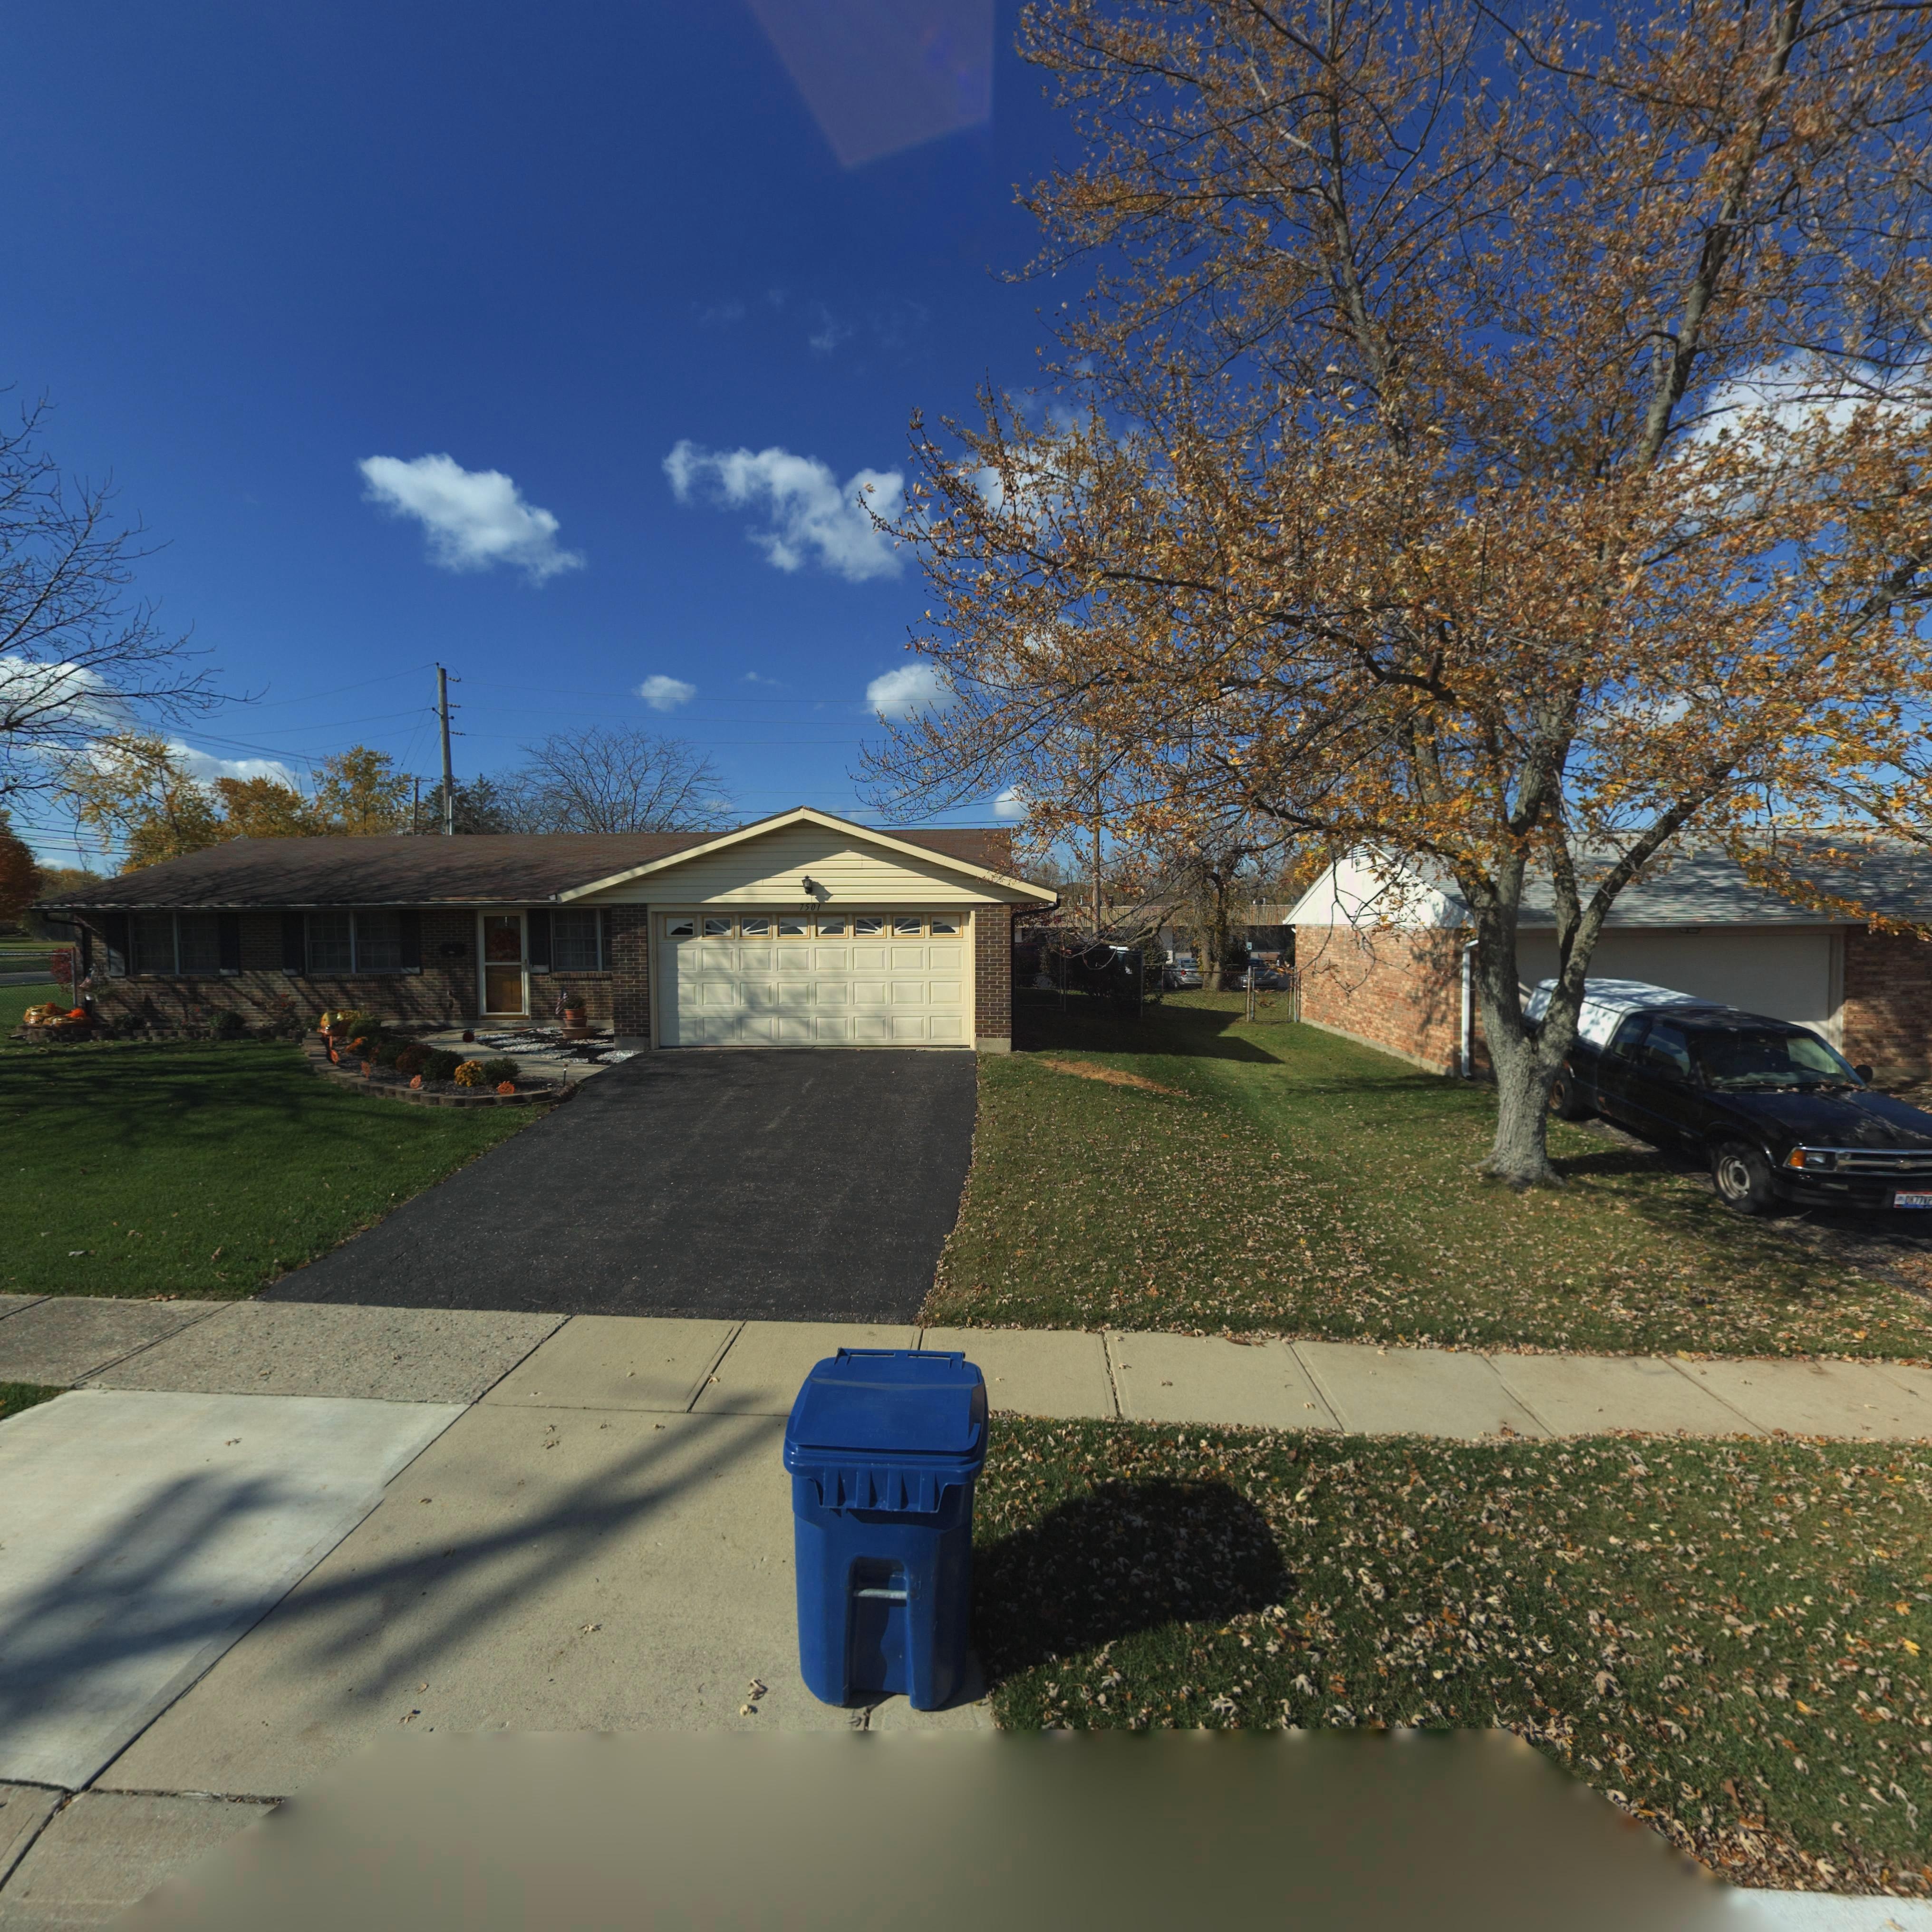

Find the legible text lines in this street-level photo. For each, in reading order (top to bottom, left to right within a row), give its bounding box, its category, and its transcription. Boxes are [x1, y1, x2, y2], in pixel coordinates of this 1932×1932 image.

[799, 902, 822, 912] StreetNumber: 7501